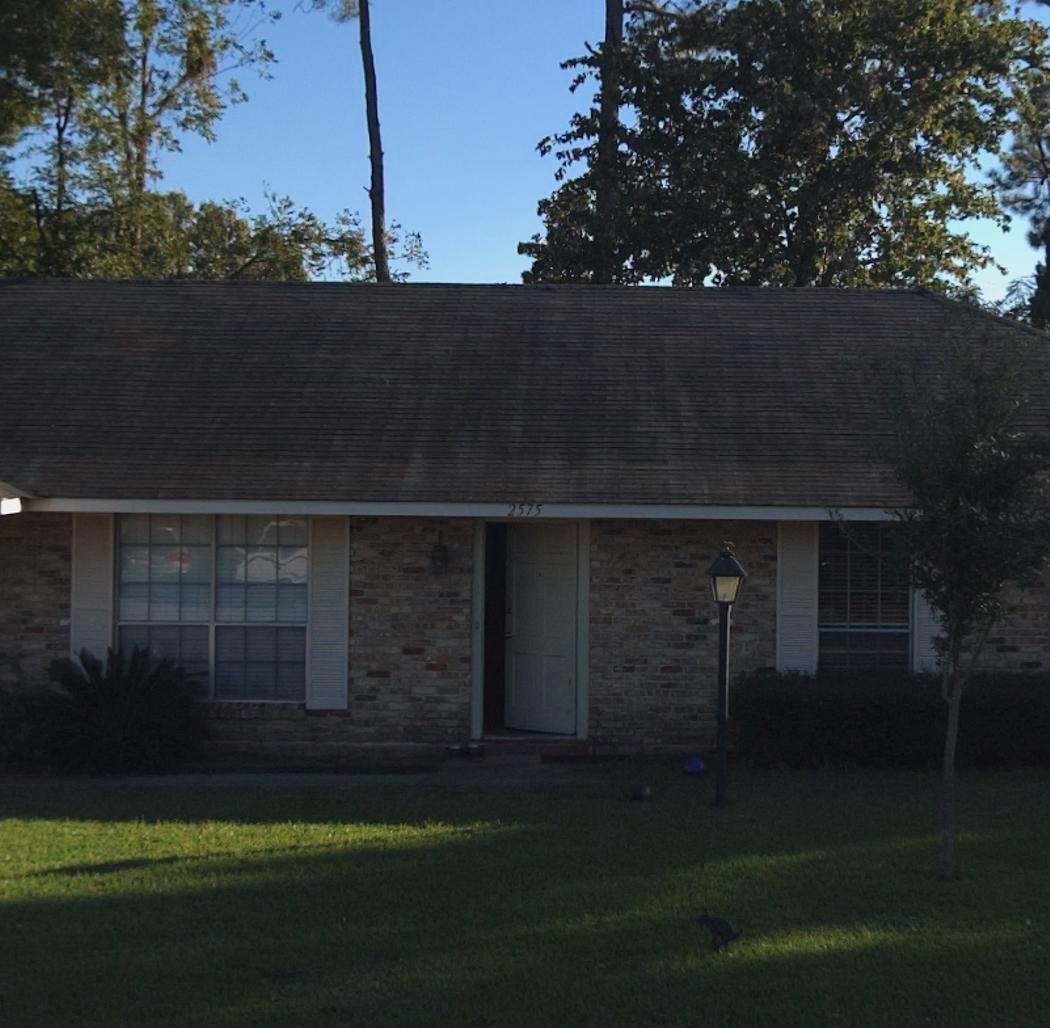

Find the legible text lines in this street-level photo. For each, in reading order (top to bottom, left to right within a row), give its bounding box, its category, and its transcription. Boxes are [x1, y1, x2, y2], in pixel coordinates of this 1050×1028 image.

[506, 502, 544, 517] StreetNumber: 2575